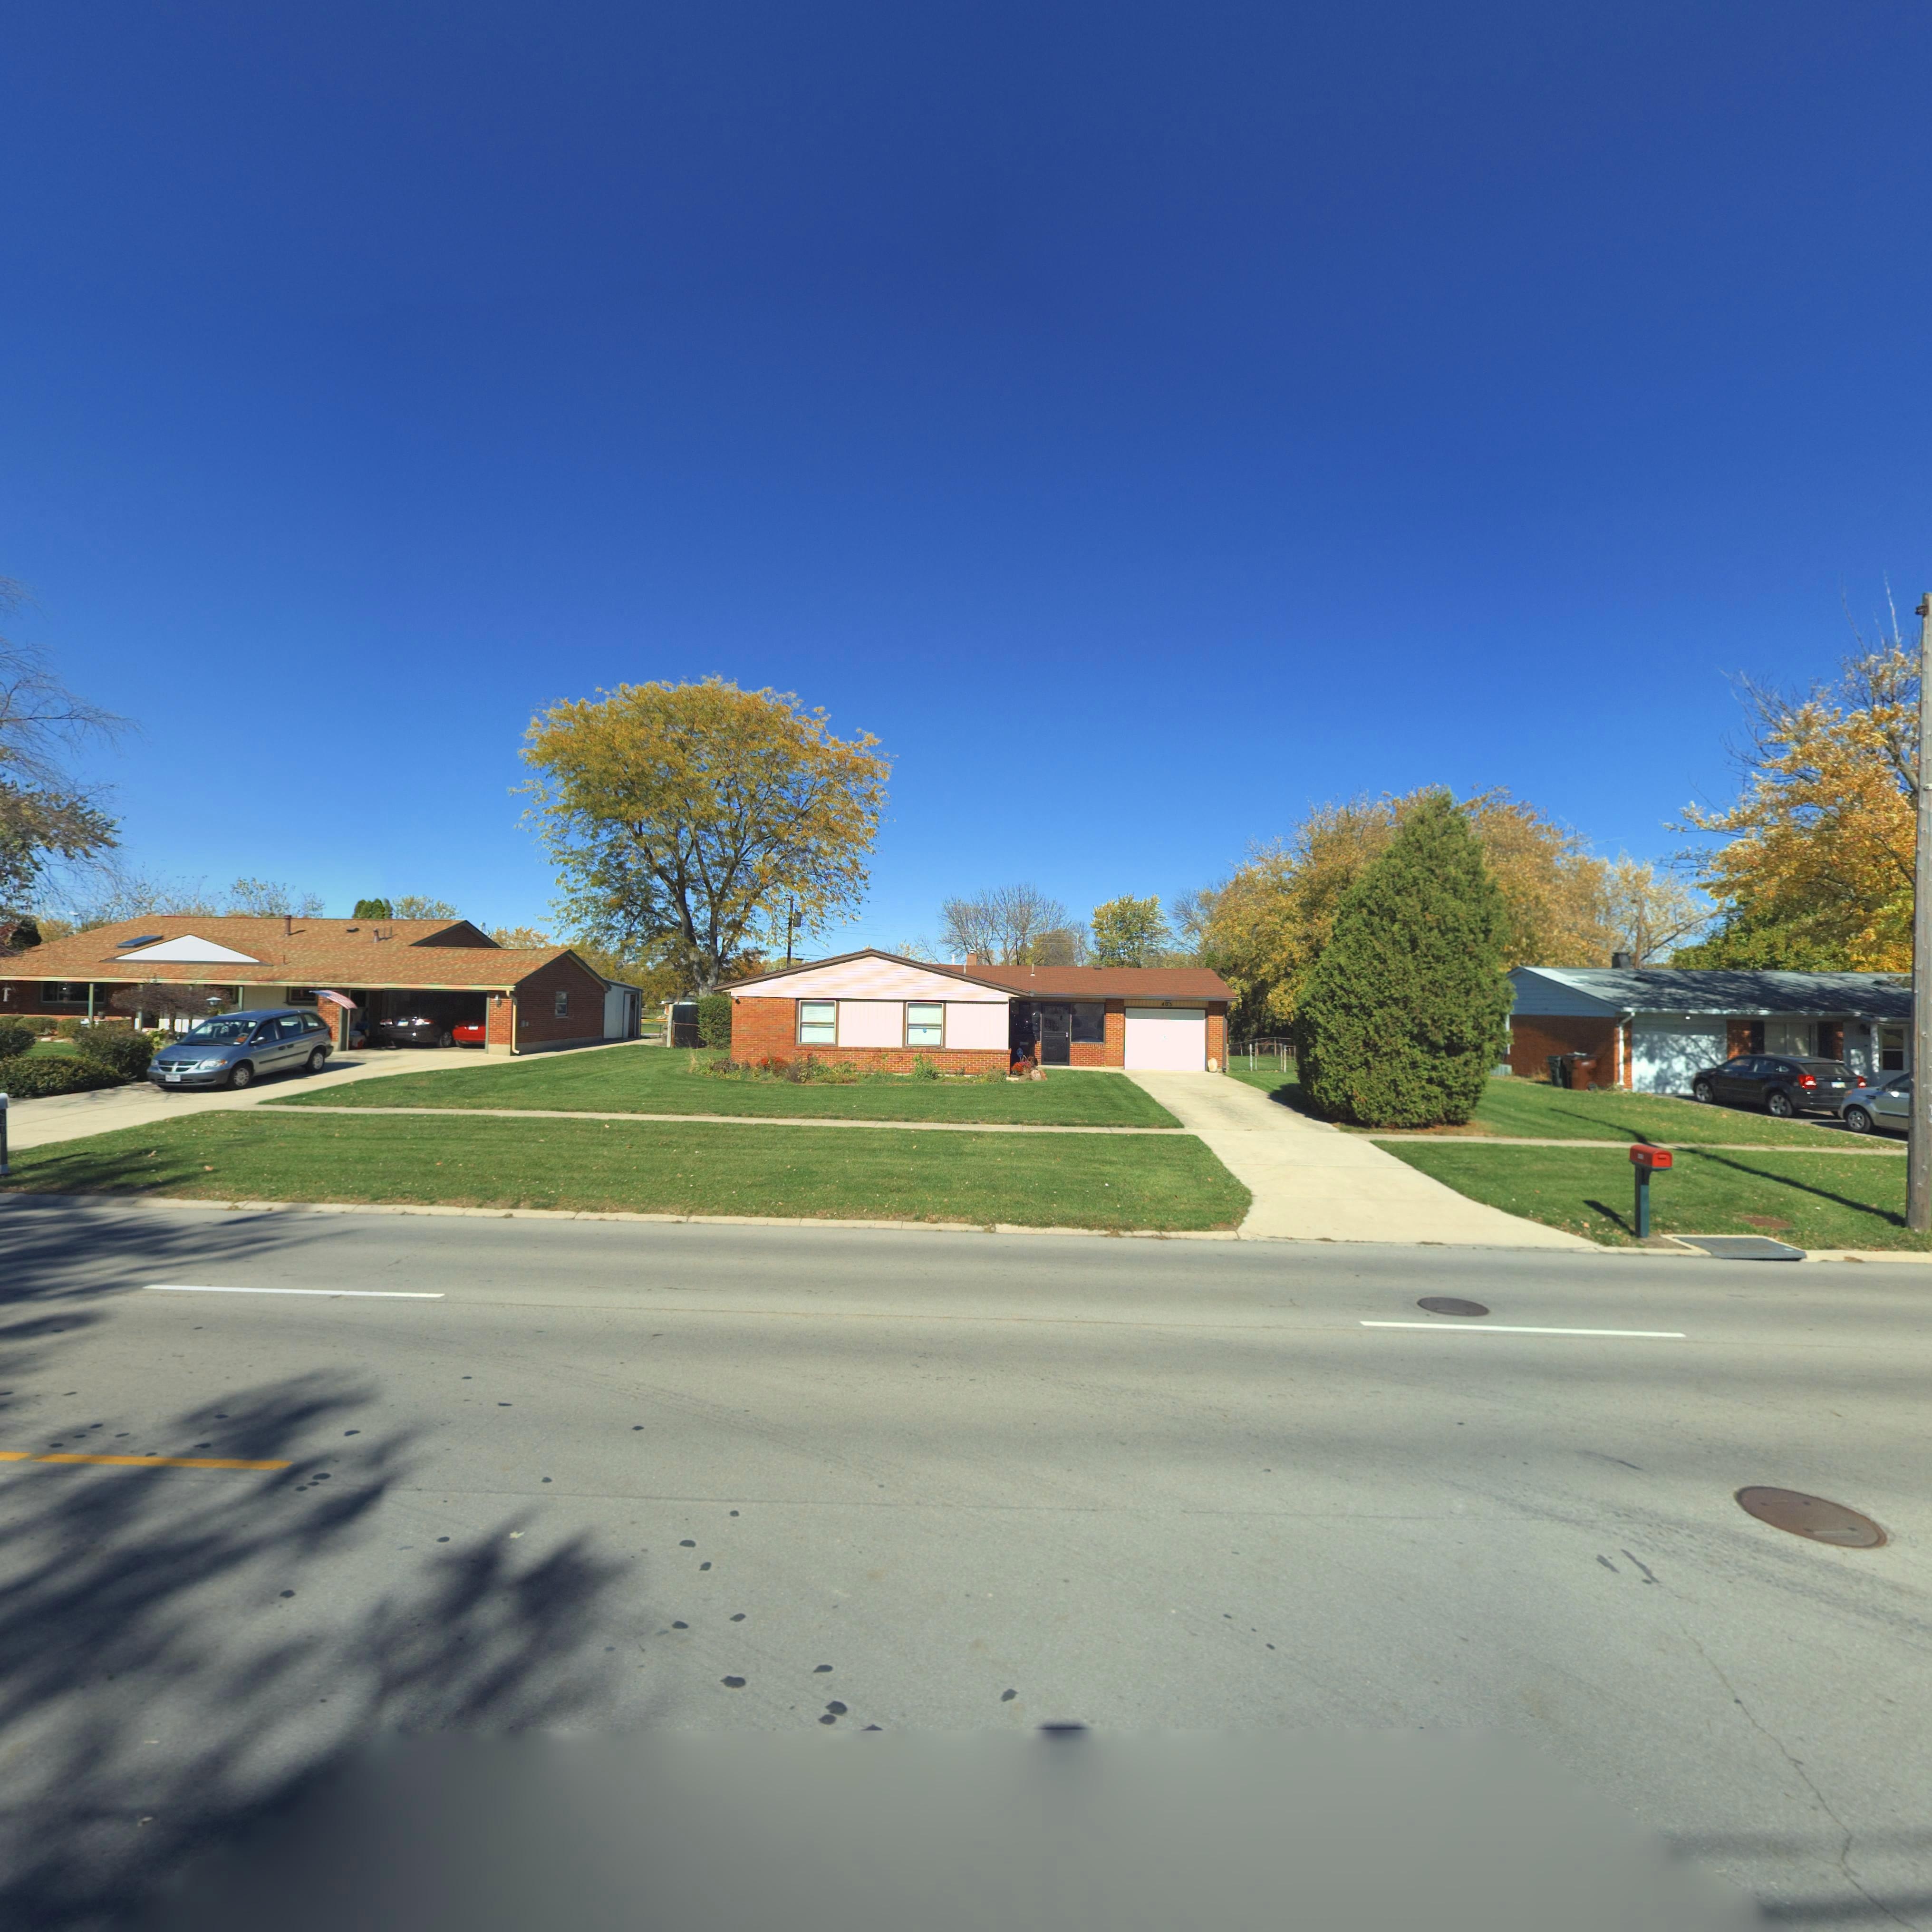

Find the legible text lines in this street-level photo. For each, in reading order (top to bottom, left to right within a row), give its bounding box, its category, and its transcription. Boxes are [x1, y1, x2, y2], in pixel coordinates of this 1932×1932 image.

[1160, 1001, 1173, 1007] StreetNumber: *0*